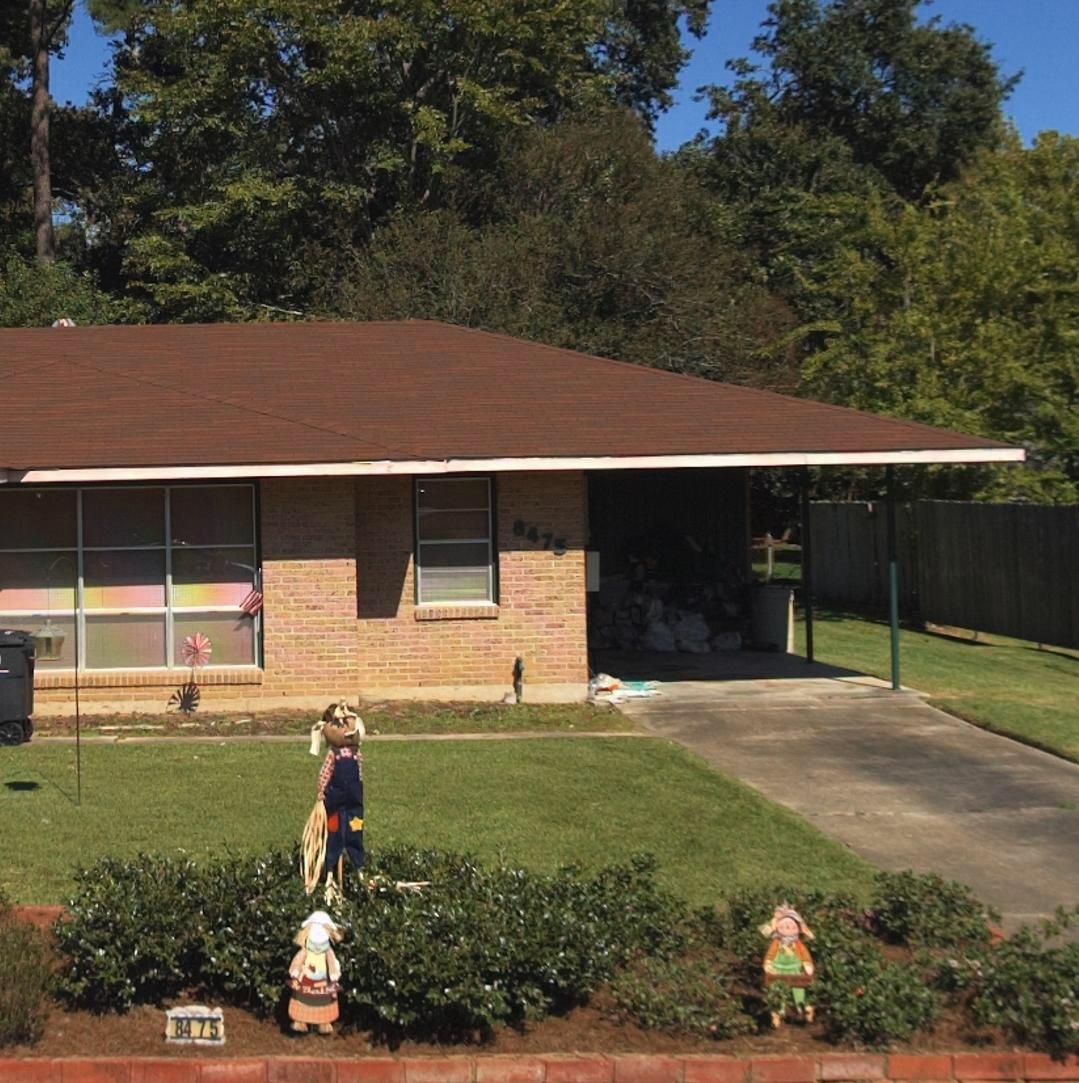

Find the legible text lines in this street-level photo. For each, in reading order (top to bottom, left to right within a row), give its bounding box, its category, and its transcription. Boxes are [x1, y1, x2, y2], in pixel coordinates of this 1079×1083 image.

[512, 517, 570, 563] StreetNumber: 8475
[172, 1015, 222, 1041] StreetNumber: 84 75